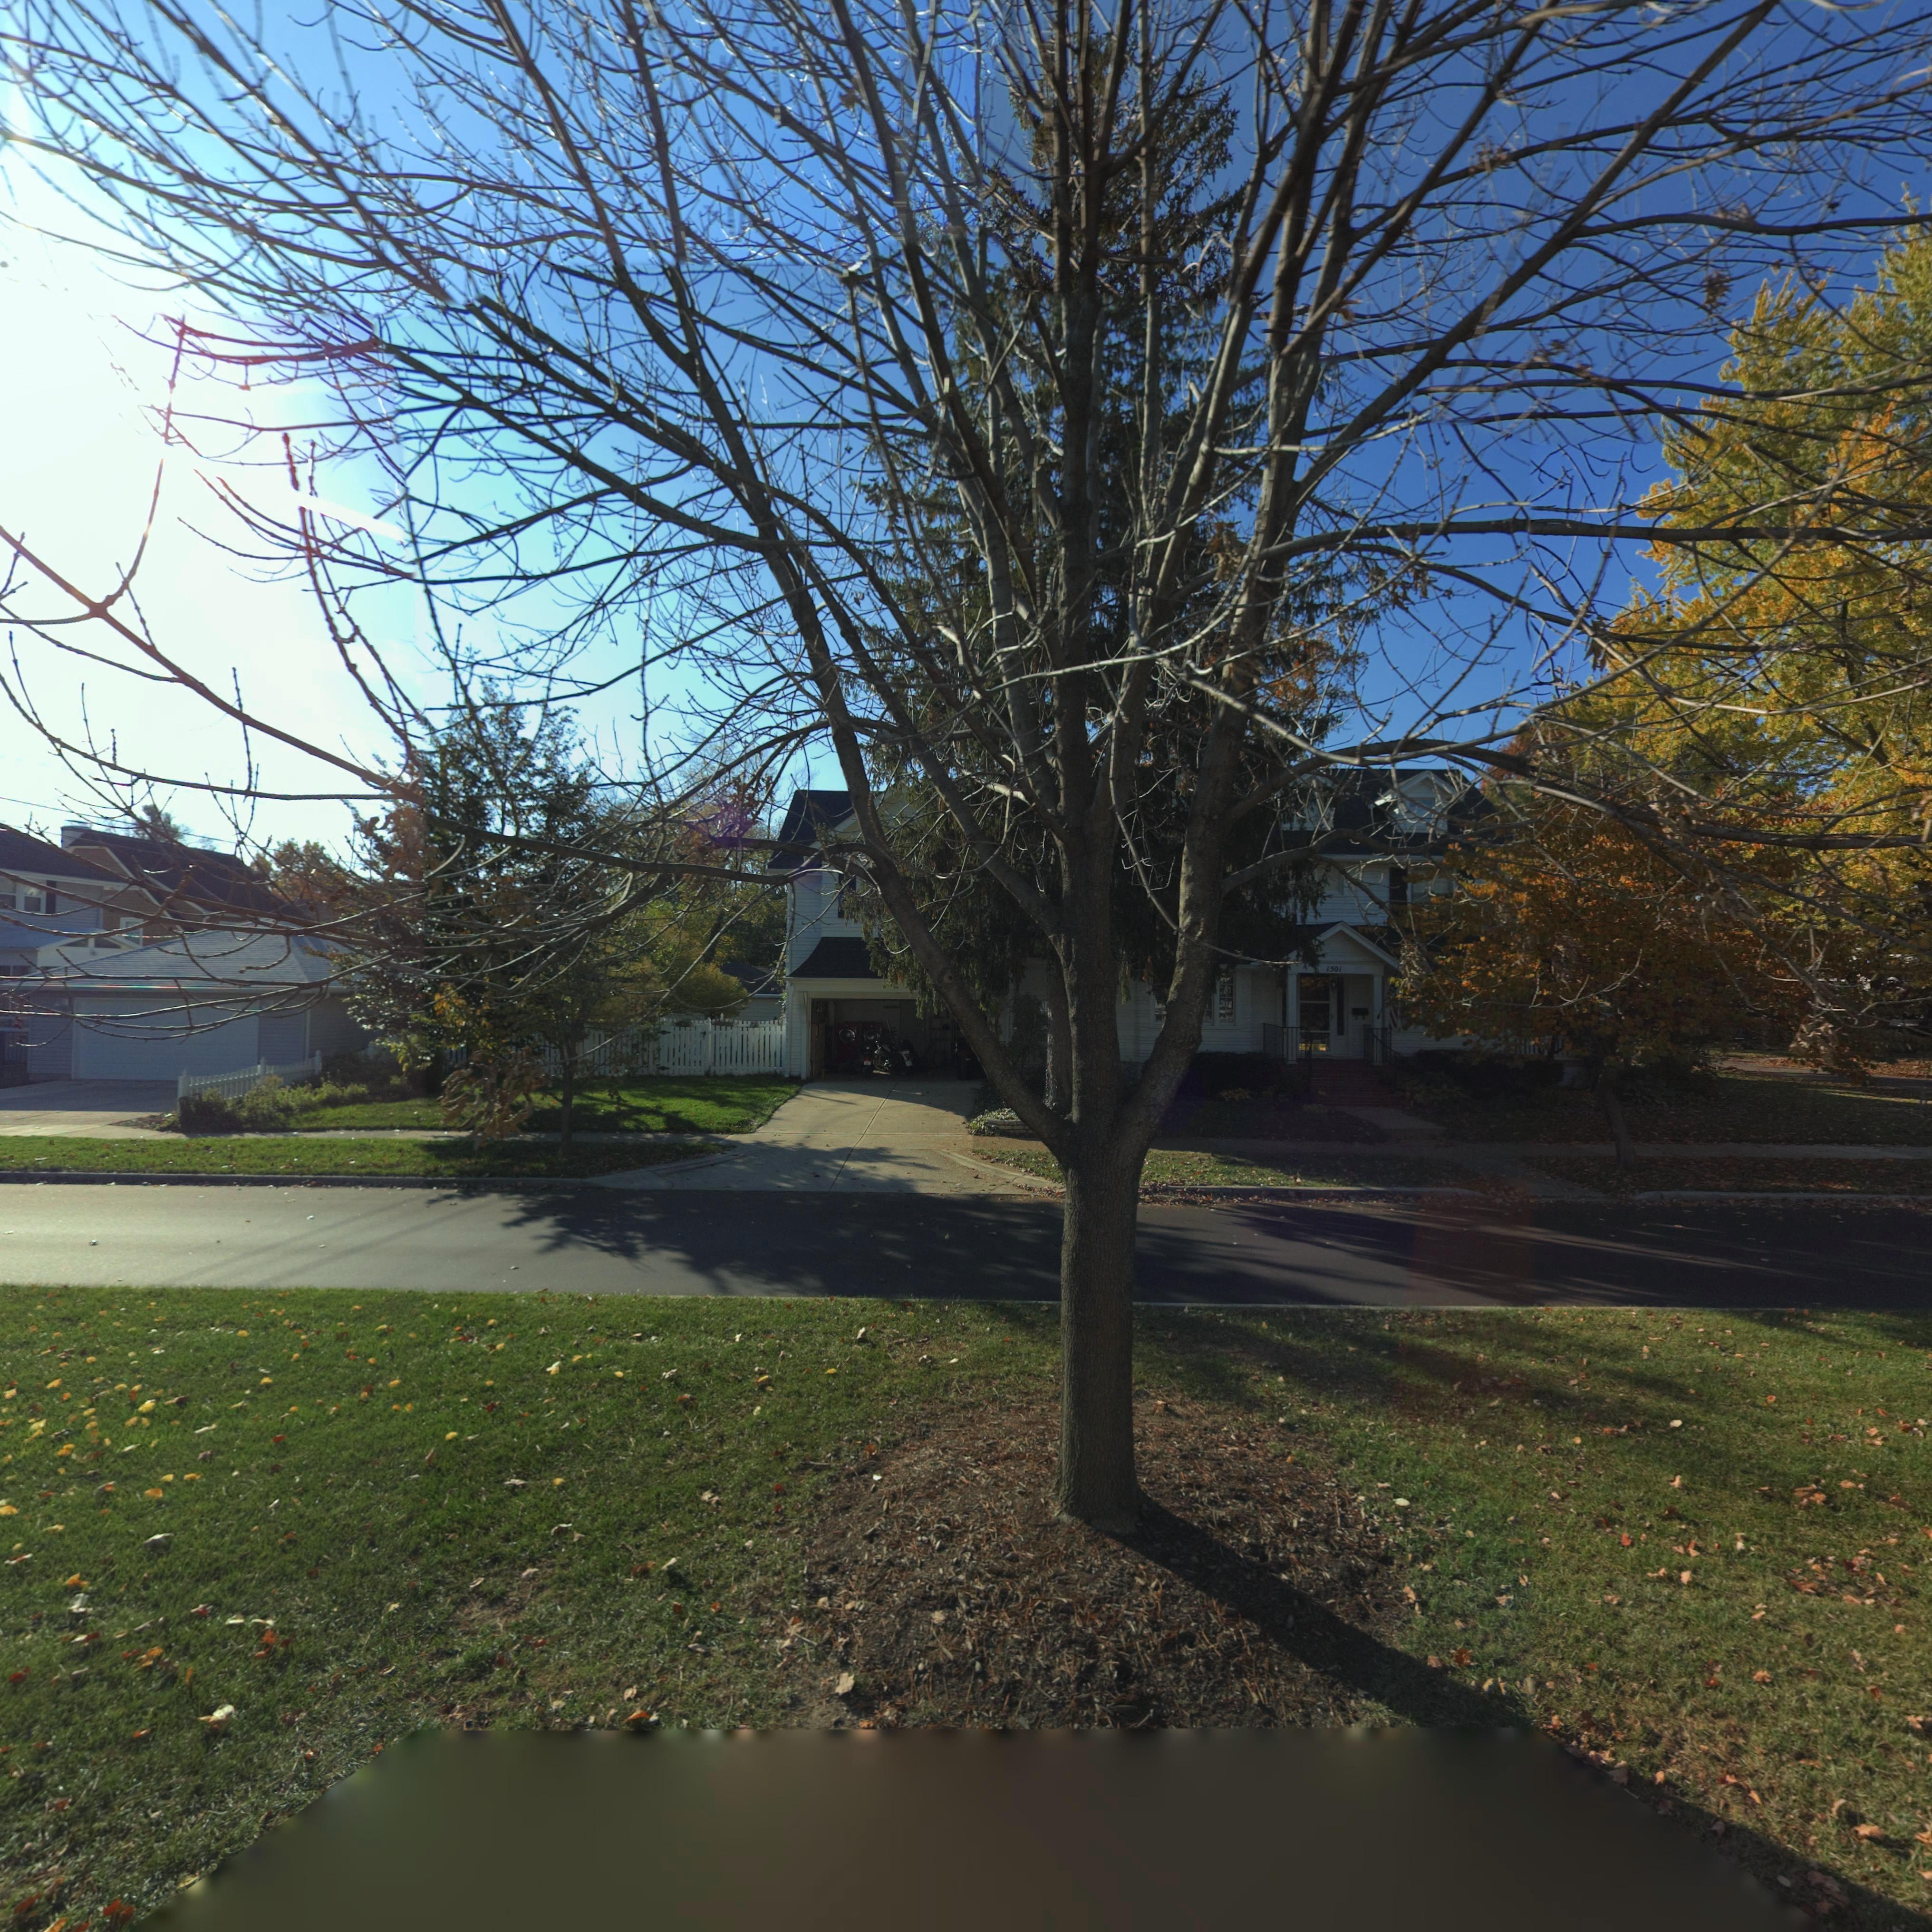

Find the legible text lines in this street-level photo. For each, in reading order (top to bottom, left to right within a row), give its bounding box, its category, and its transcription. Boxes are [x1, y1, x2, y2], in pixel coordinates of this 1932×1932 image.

[1326, 965, 1342, 972] StreetNumber: 1501